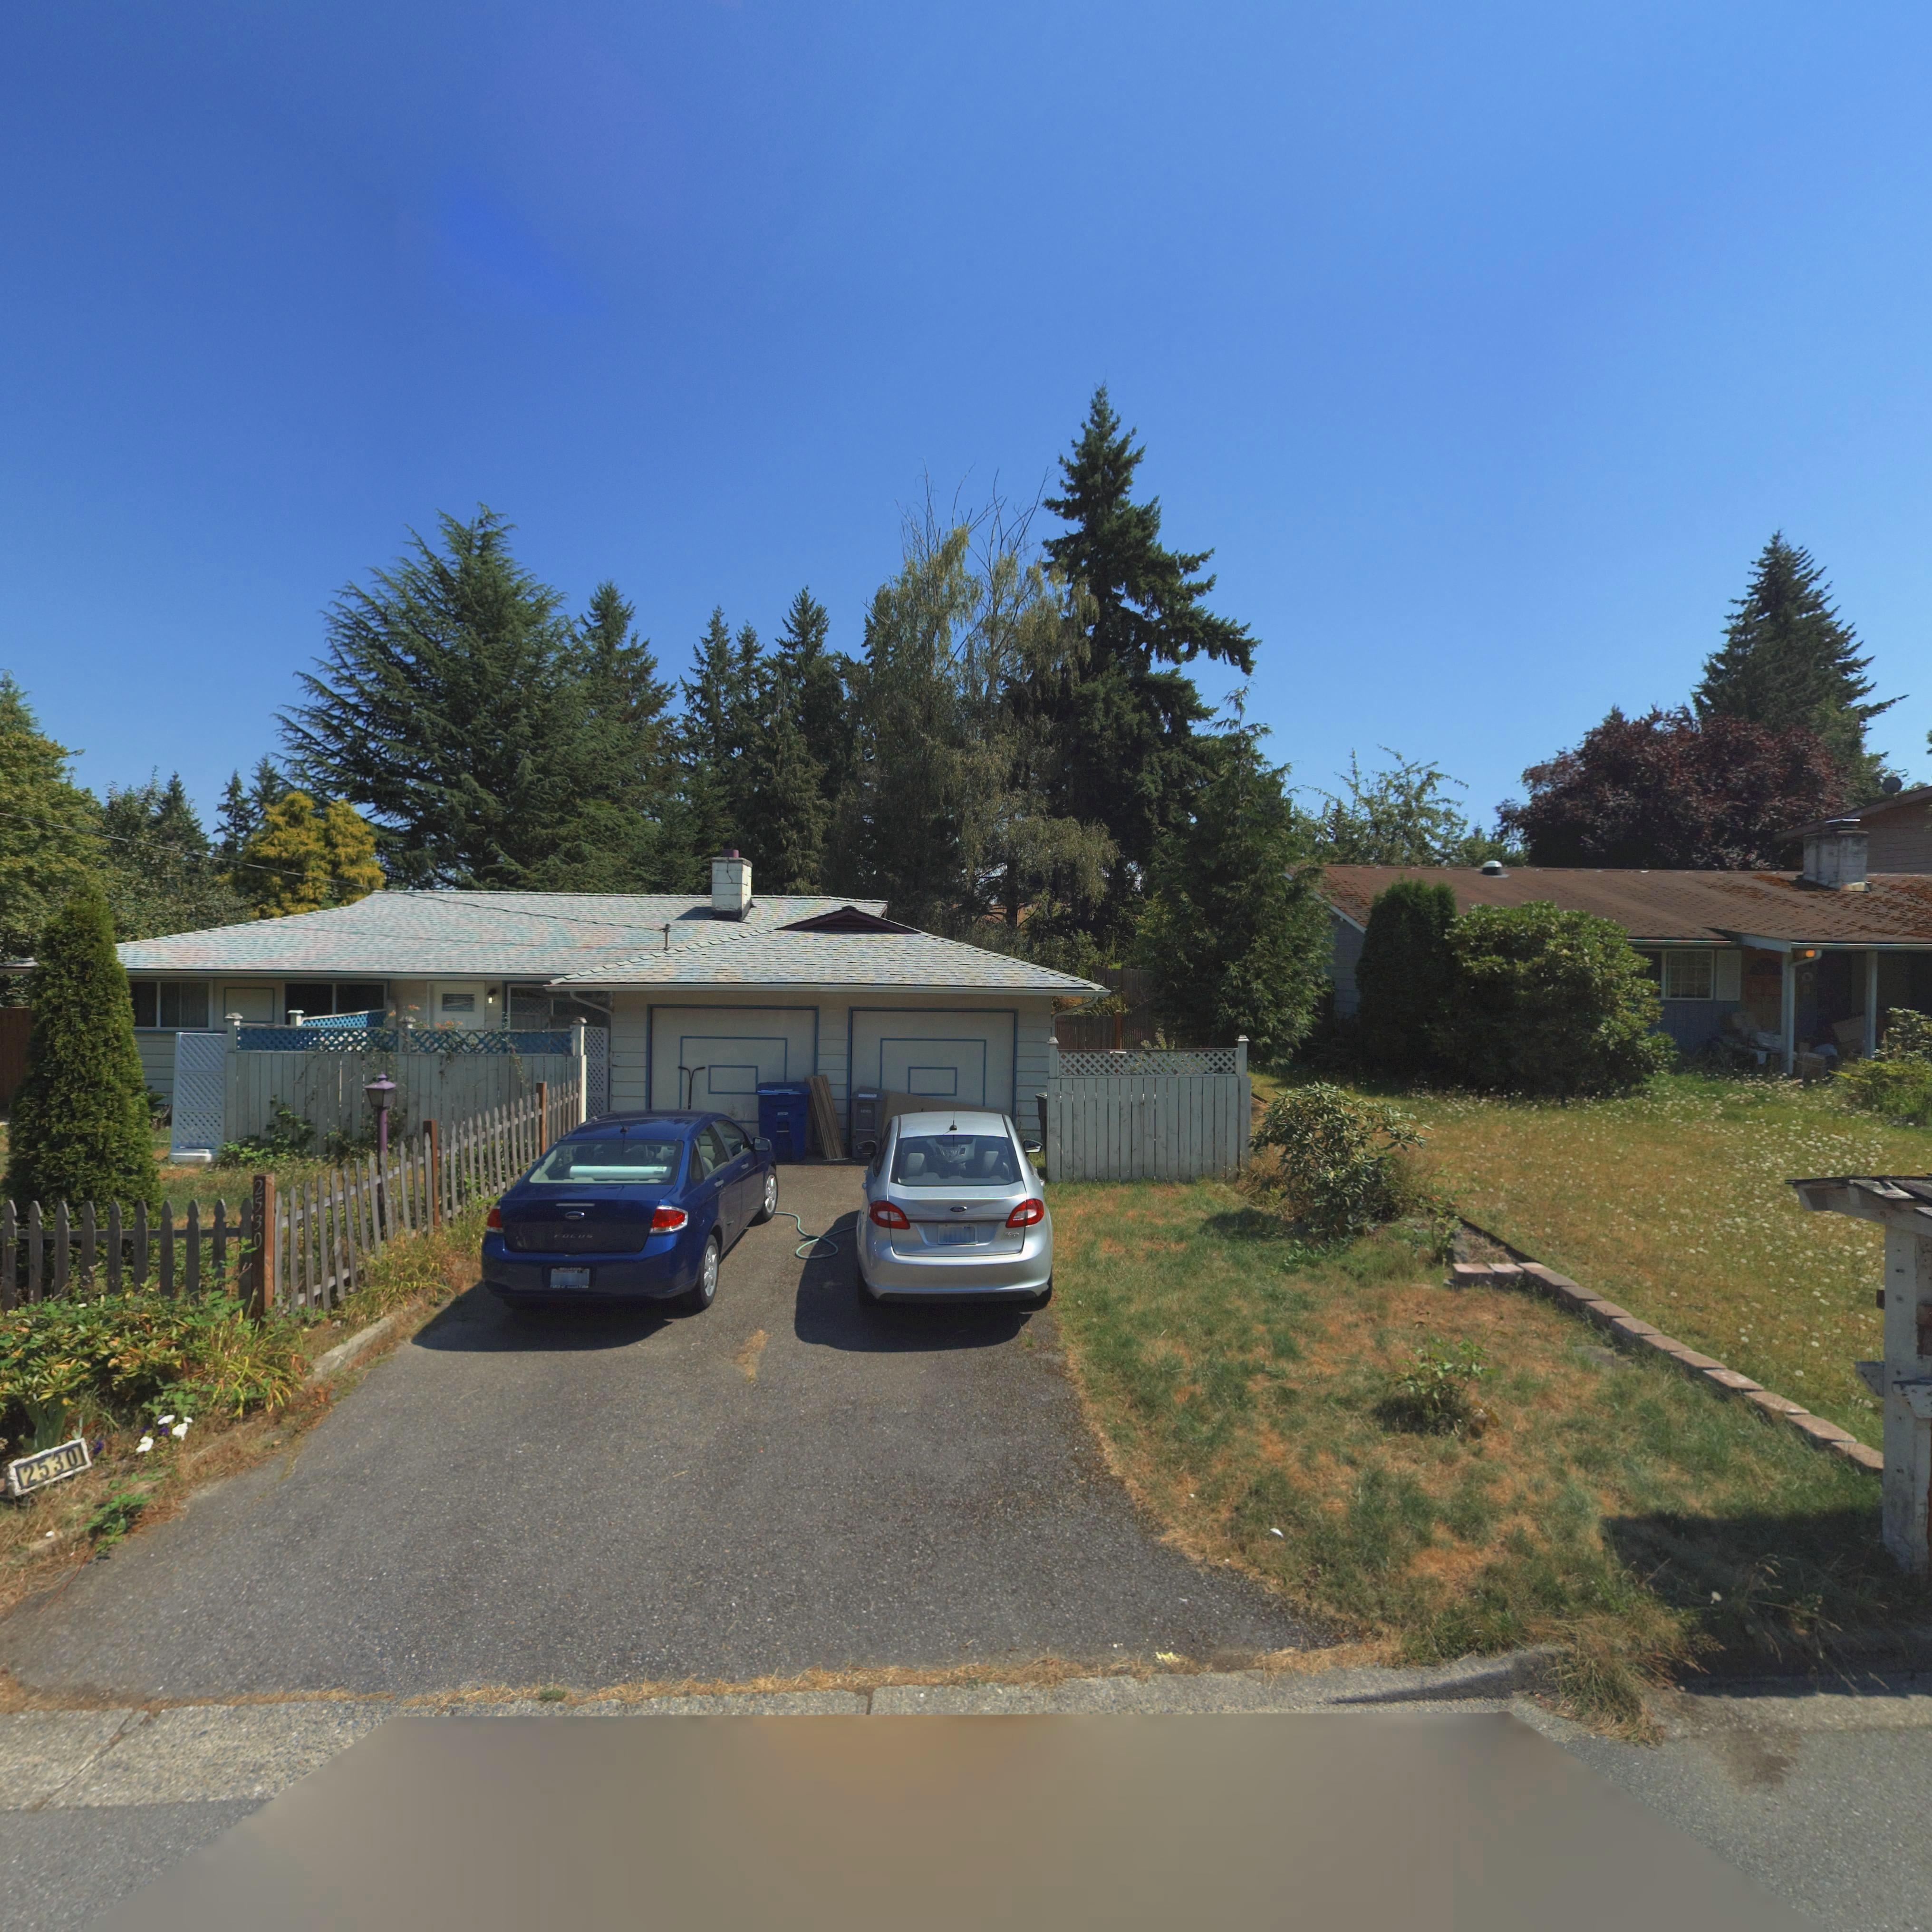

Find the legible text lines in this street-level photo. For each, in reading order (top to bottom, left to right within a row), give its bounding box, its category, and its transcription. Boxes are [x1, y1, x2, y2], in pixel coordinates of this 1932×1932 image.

[21, 1445, 80, 1486] StreetNumber: 2530